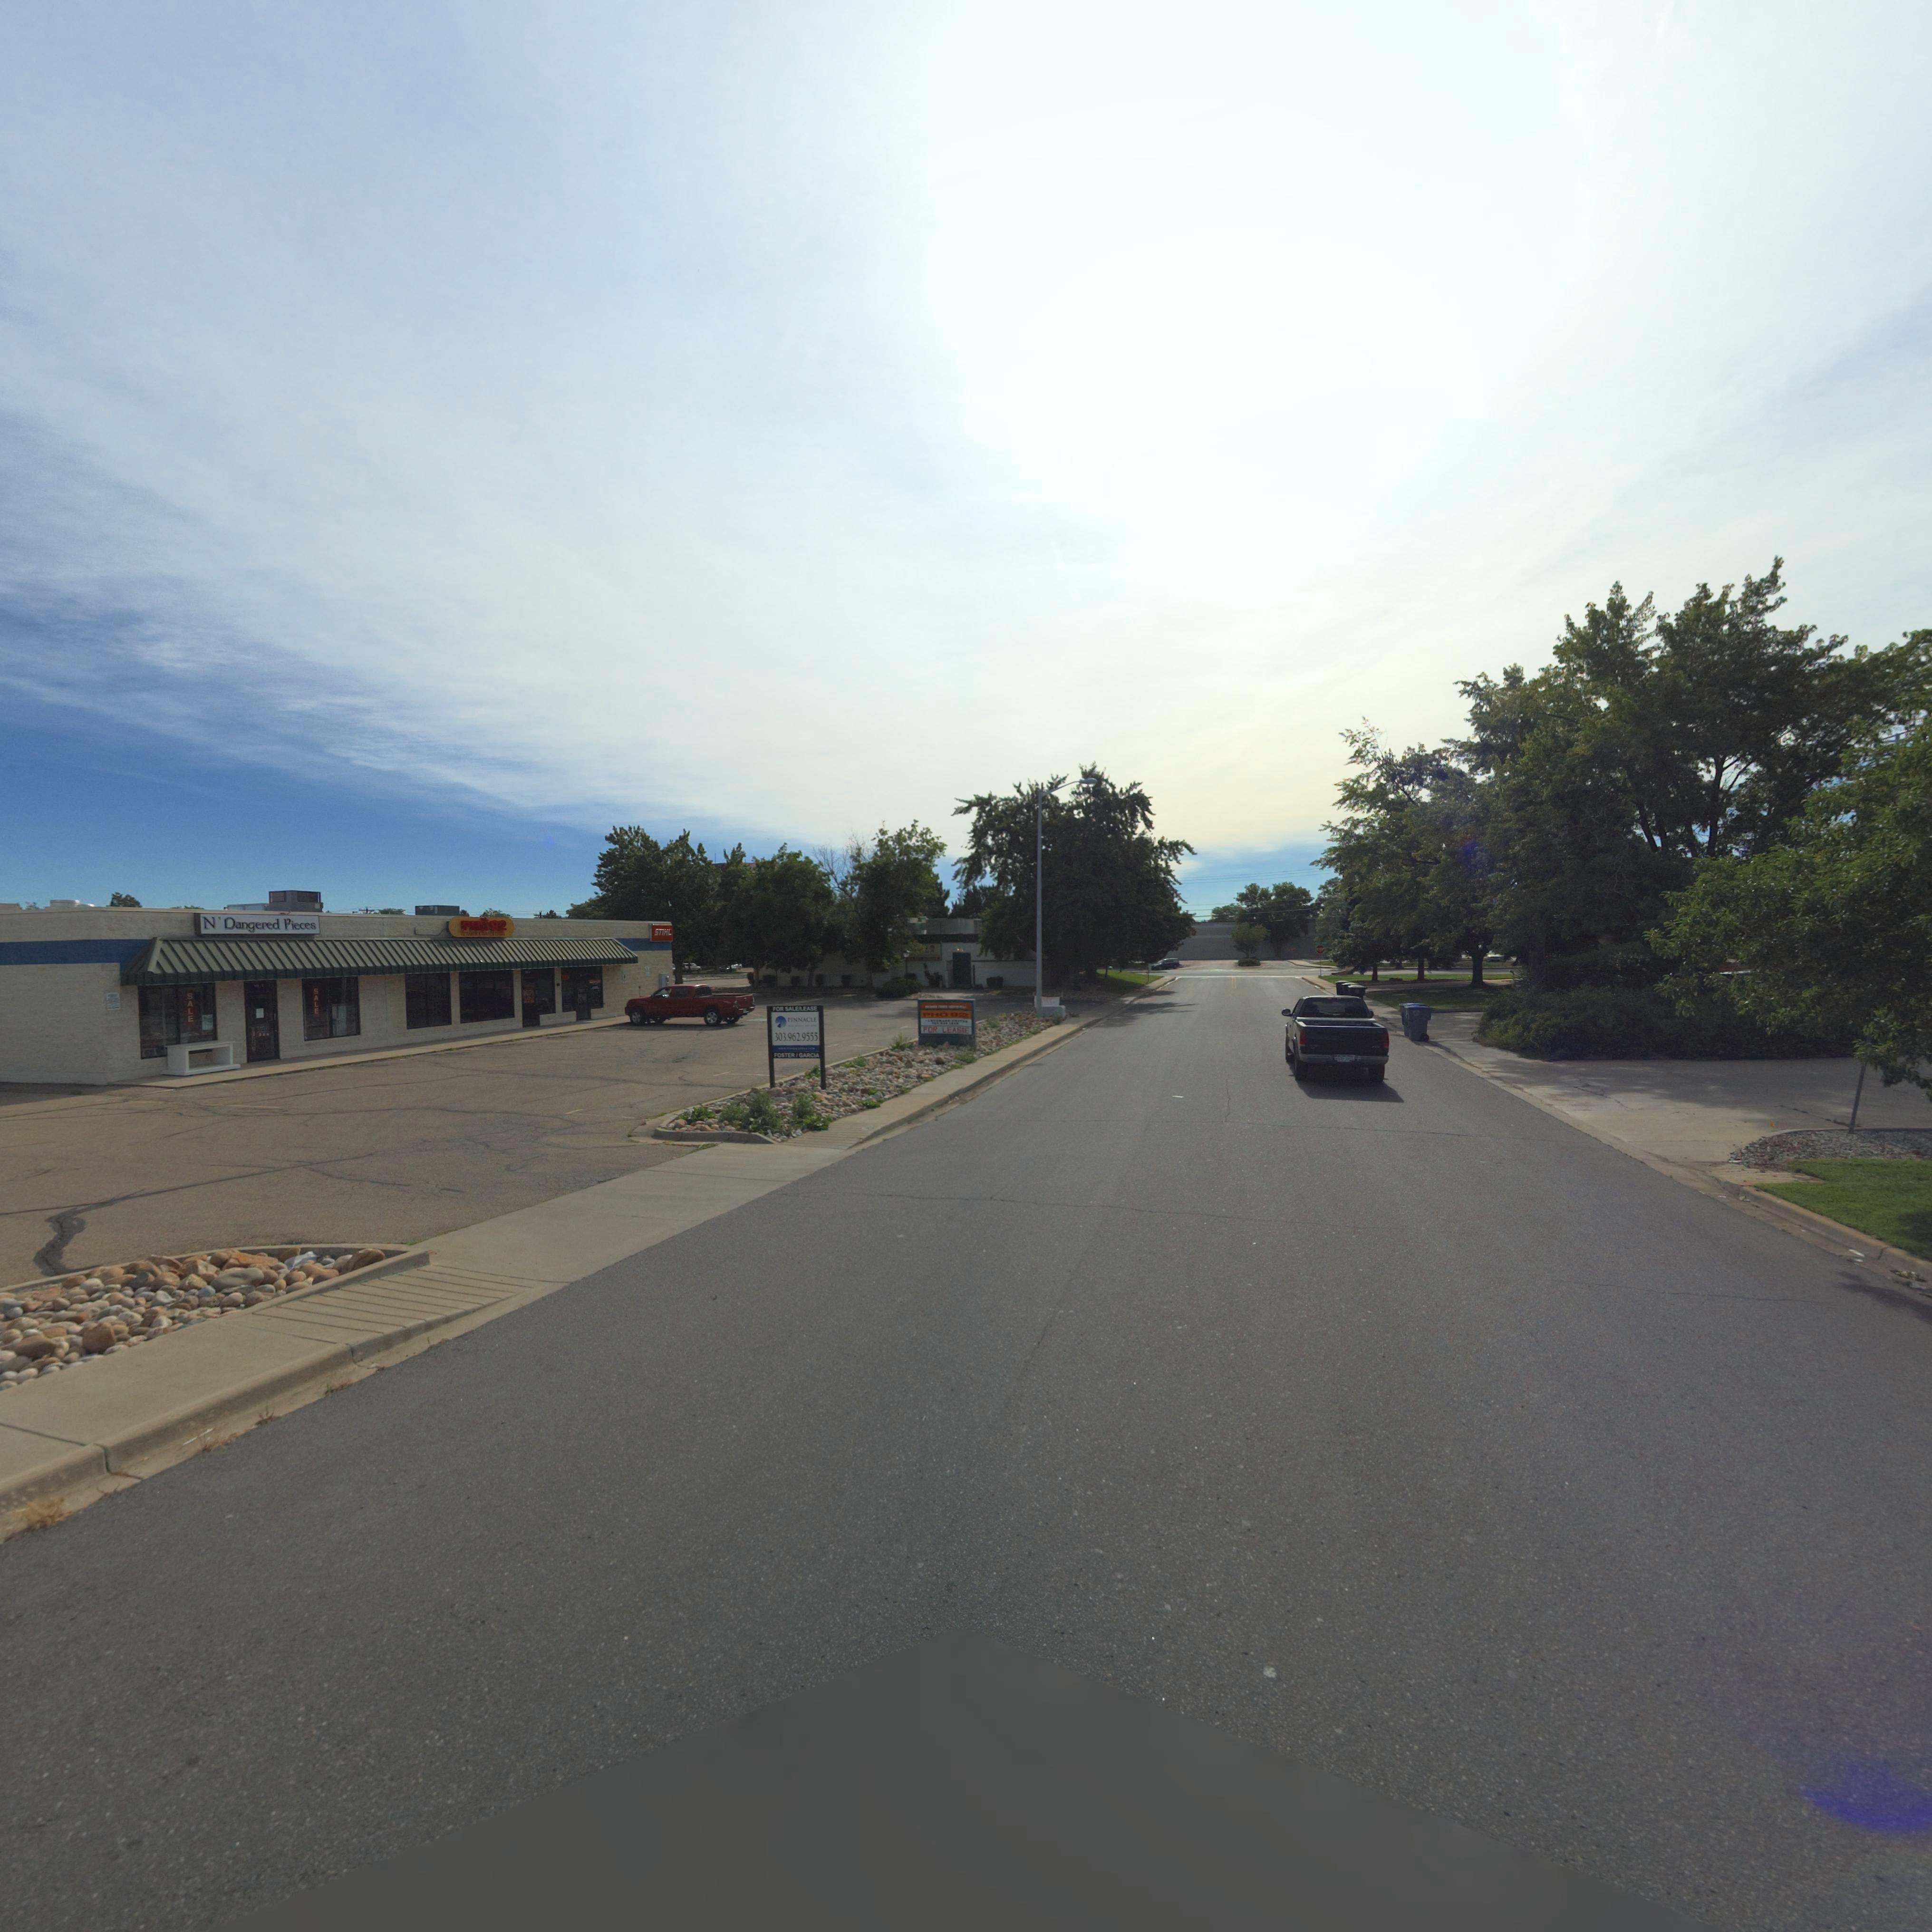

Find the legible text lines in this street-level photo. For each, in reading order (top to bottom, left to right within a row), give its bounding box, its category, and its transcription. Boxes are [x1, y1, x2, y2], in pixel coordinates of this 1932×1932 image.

[202, 916, 317, 933] BusinessName: N * Dangered Pieces 
[461, 919, 507, 930] BusinessName: PHO 92
[654, 928, 672, 936] BusinessName: STIHL
[923, 1012, 969, 1018] BusinessName: PHO 9*2